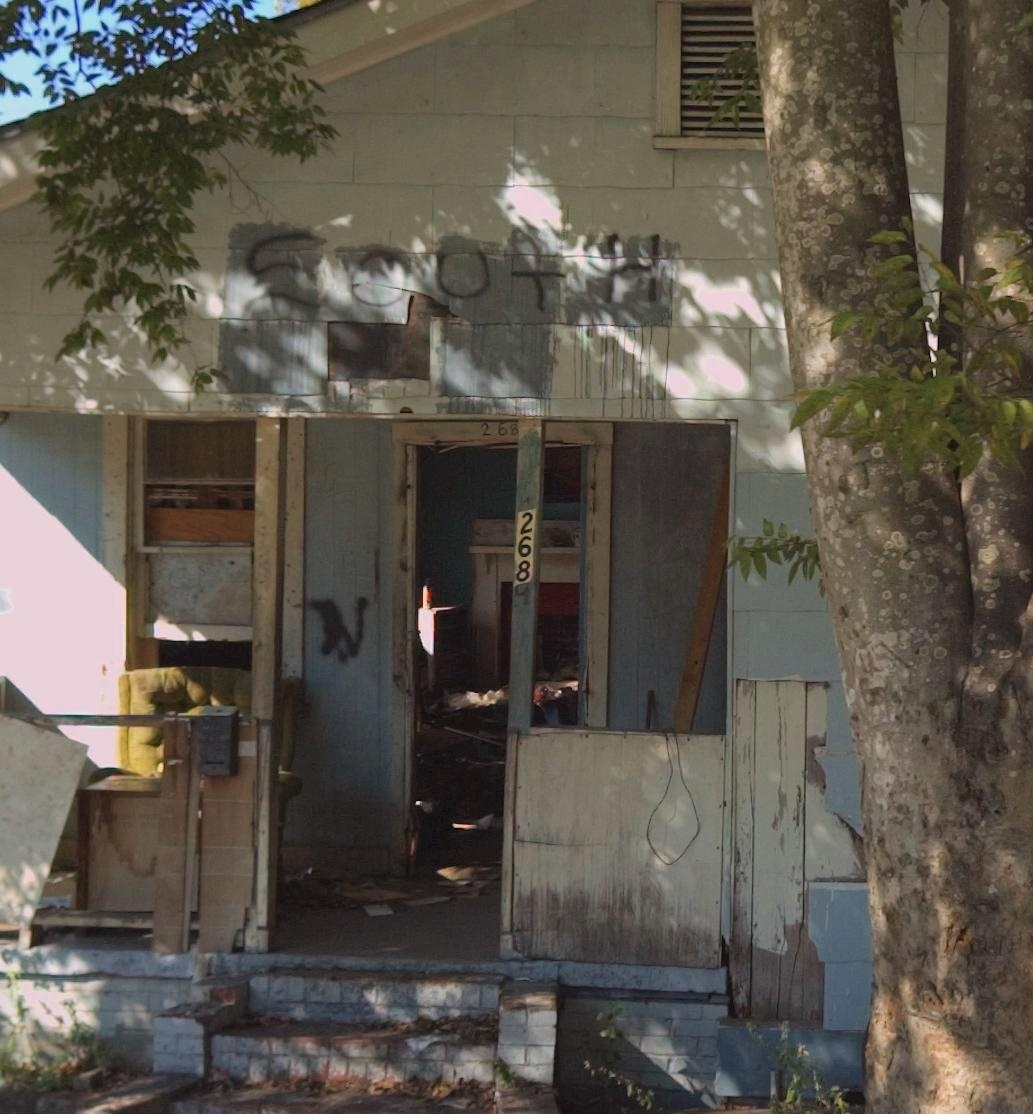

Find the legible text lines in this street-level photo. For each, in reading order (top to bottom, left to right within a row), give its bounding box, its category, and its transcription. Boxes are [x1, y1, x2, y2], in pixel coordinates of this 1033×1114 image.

[237, 220, 668, 317] None: SoutH
[479, 418, 512, 439] StreetNumber: 26
[512, 506, 536, 612] StreetNumber: 2684